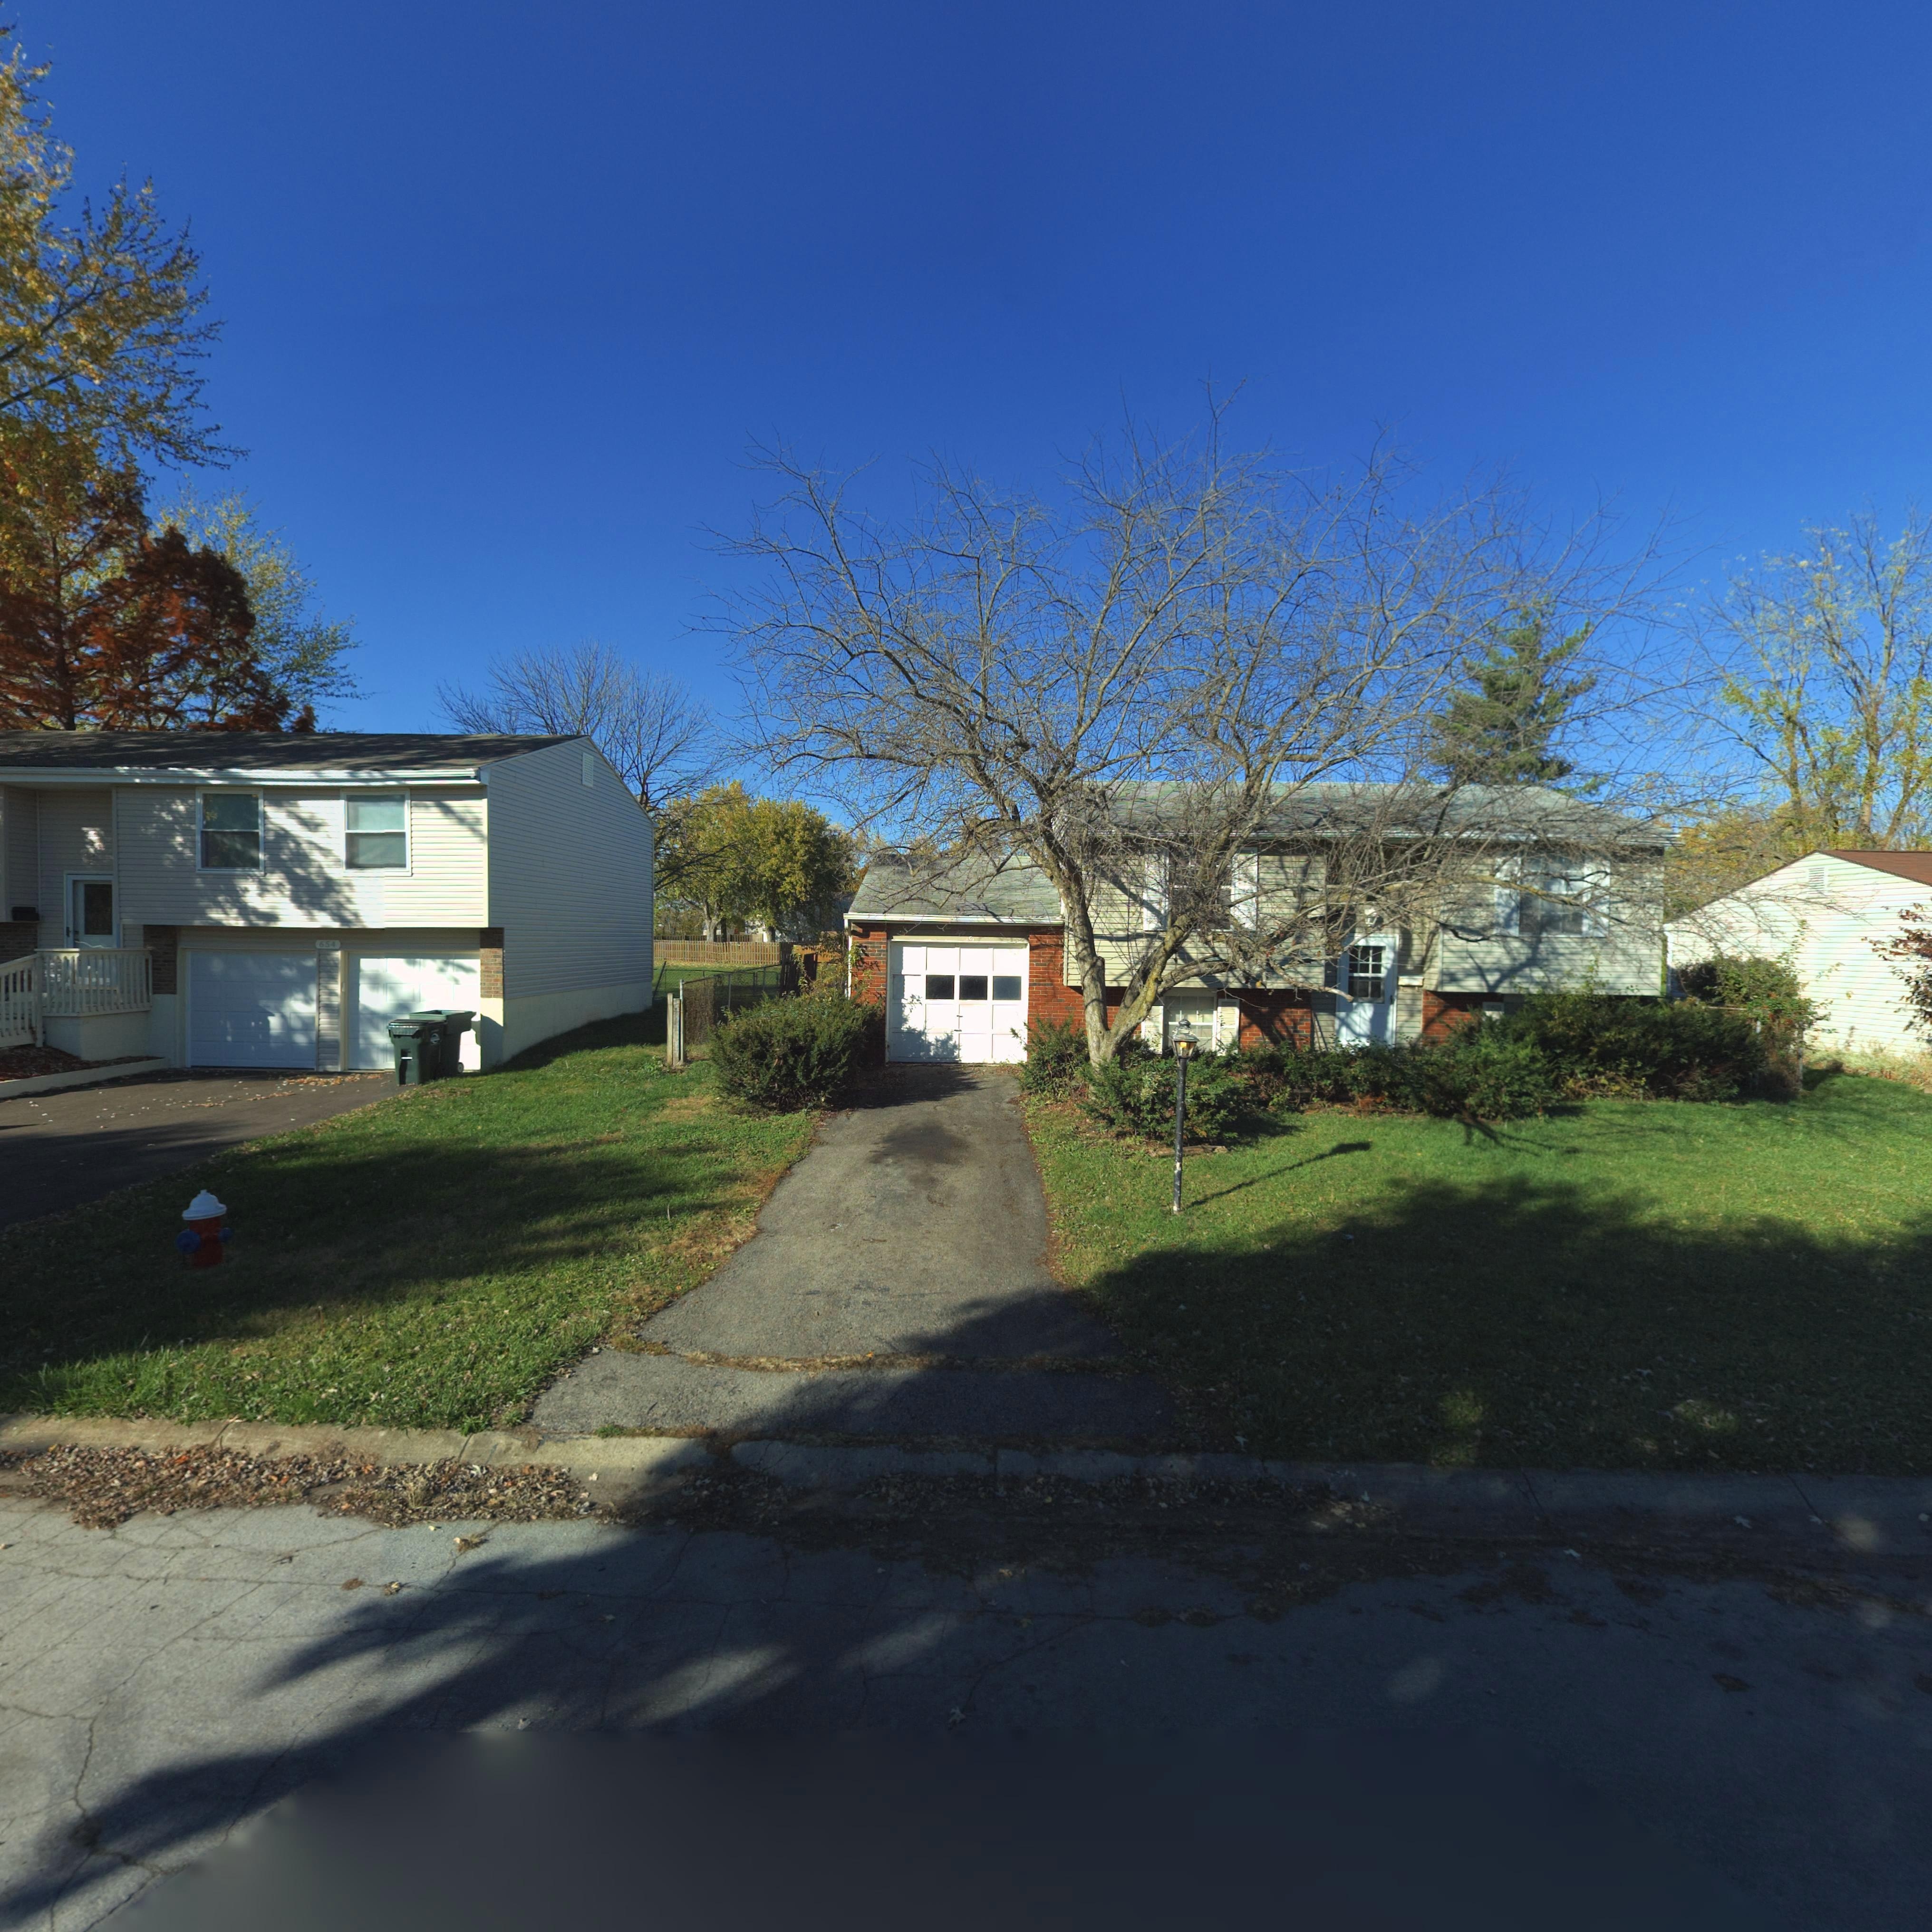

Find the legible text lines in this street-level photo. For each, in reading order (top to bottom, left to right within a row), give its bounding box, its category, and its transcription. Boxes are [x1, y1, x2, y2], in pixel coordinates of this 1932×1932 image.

[318, 940, 336, 948] StreetNumber: 654